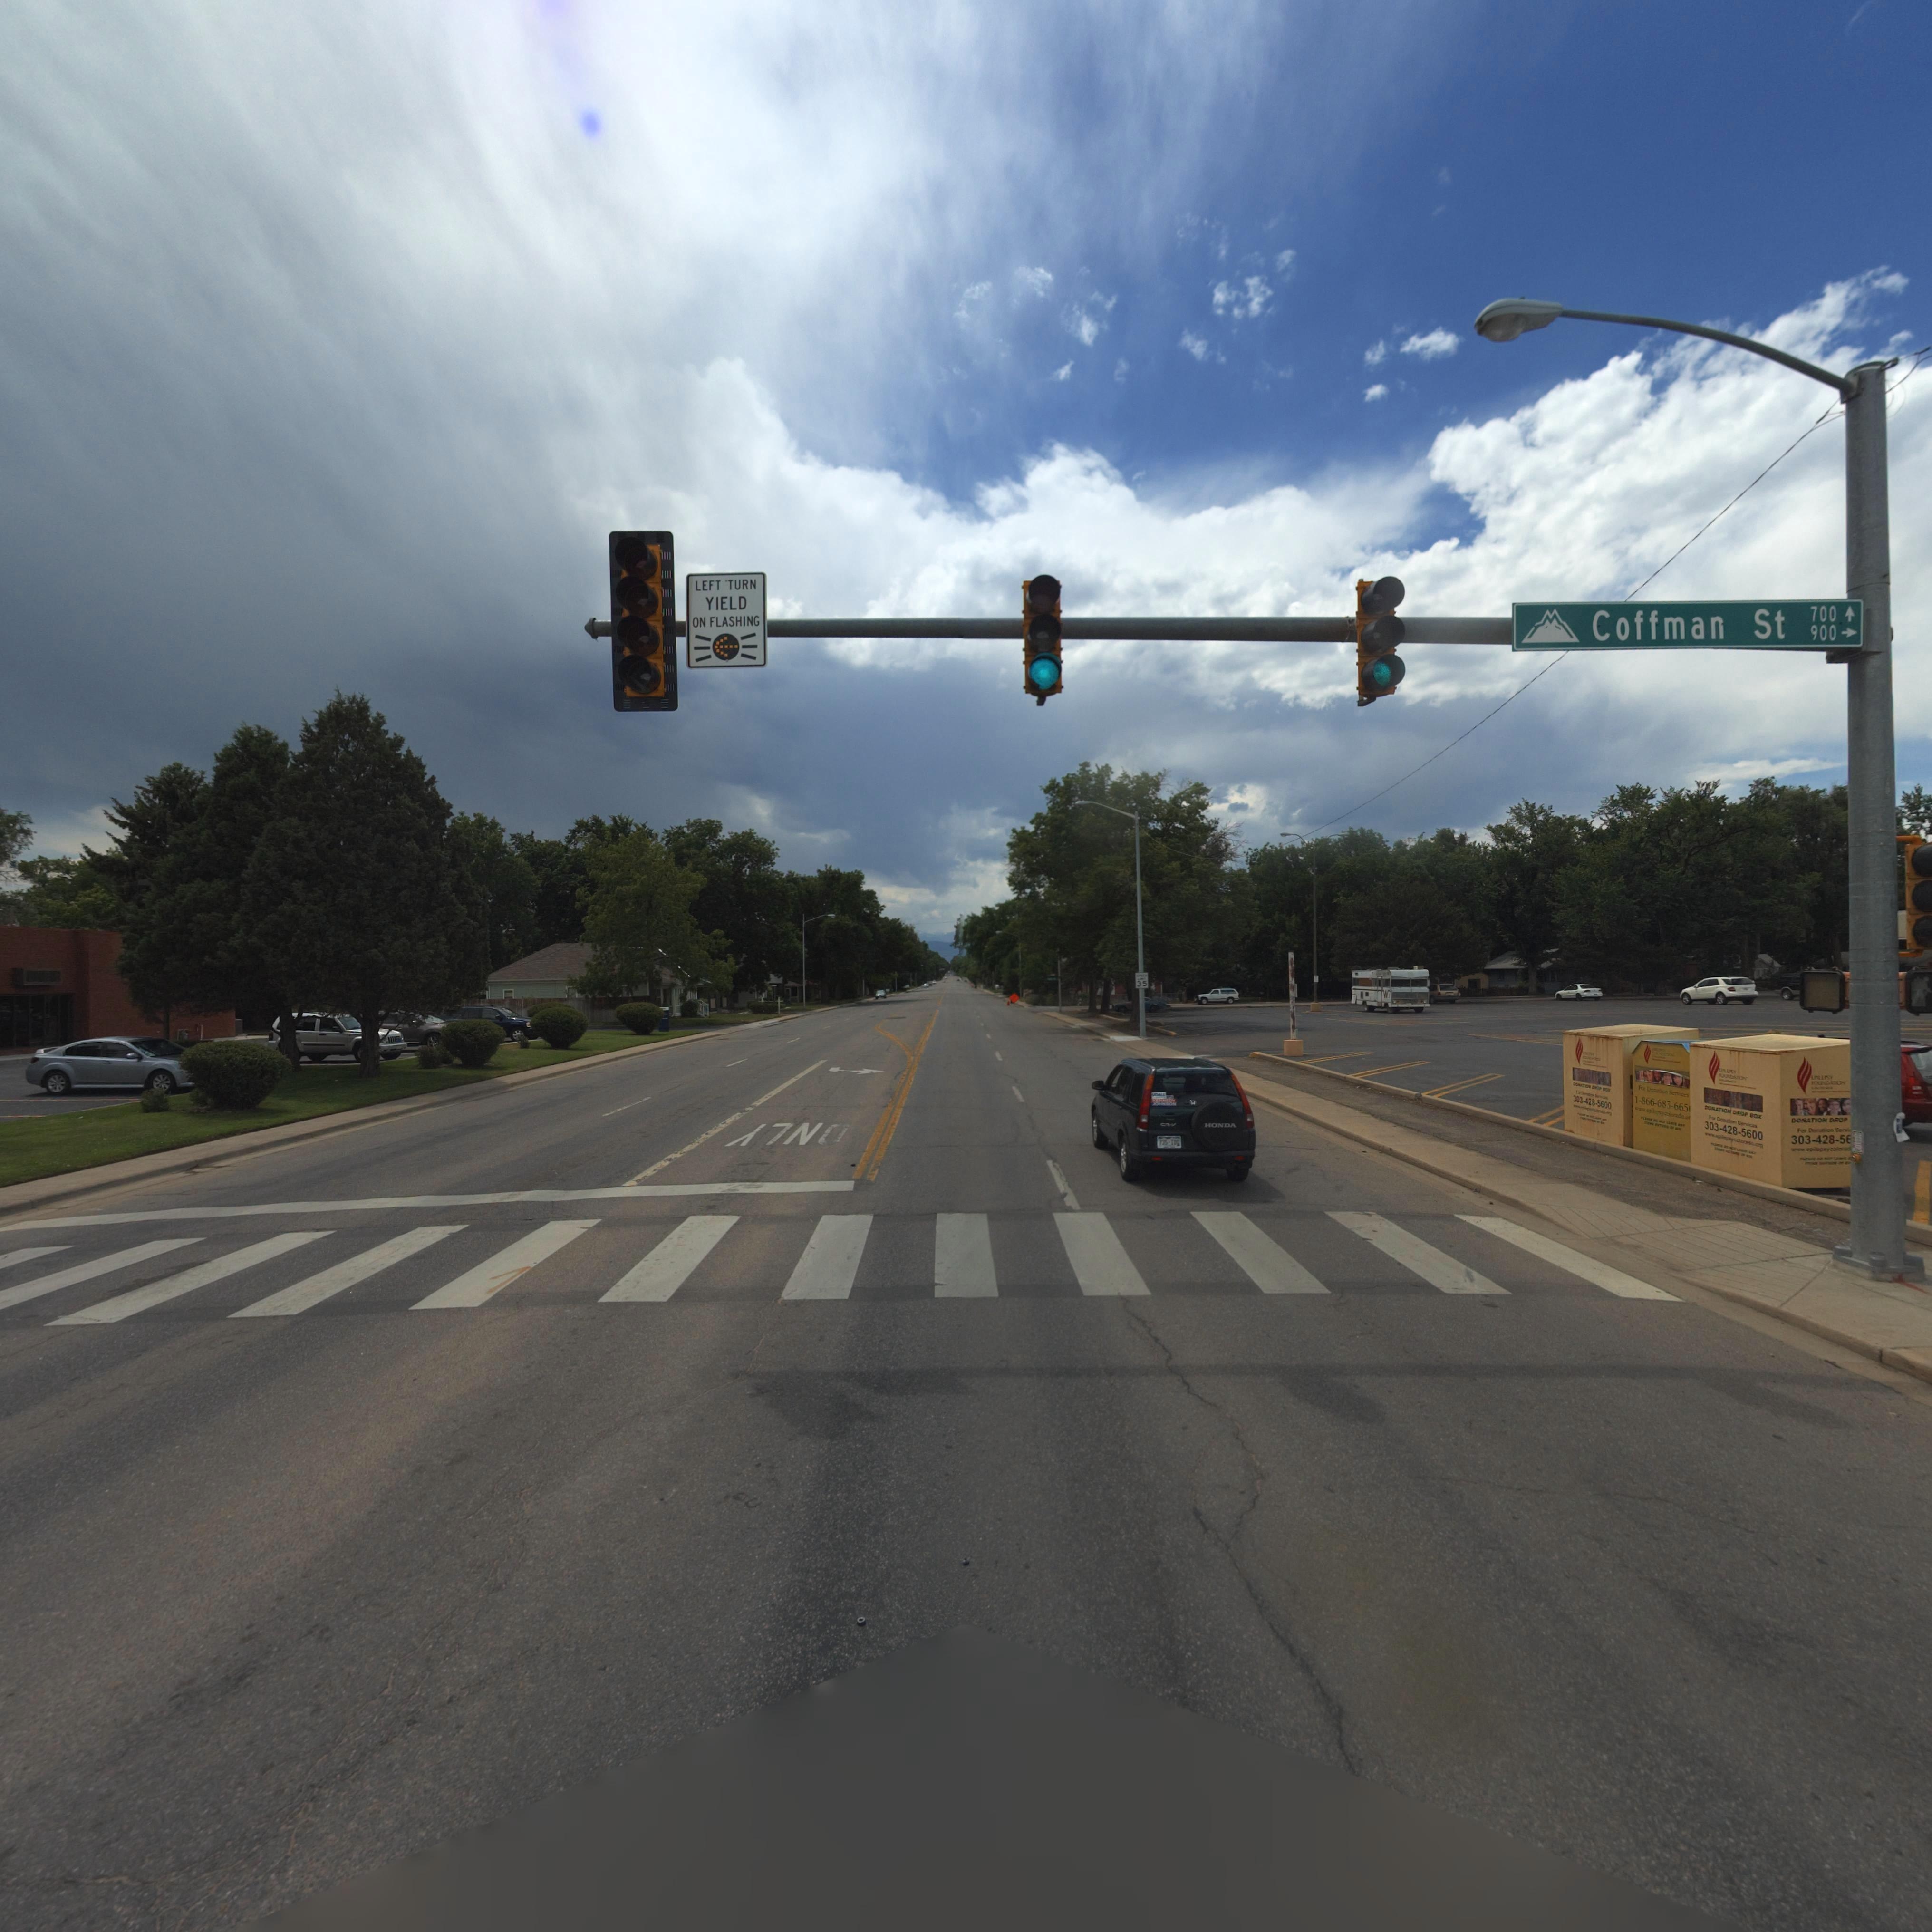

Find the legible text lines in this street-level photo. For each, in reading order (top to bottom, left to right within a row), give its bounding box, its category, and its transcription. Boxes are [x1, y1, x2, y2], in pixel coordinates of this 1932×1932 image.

[1809, 605, 1836, 622] StreetNumberRange: 700
[1591, 607, 1786, 642] StreetName: Coffman St
[1809, 623, 1858, 642] StreetNumberRange: 900->